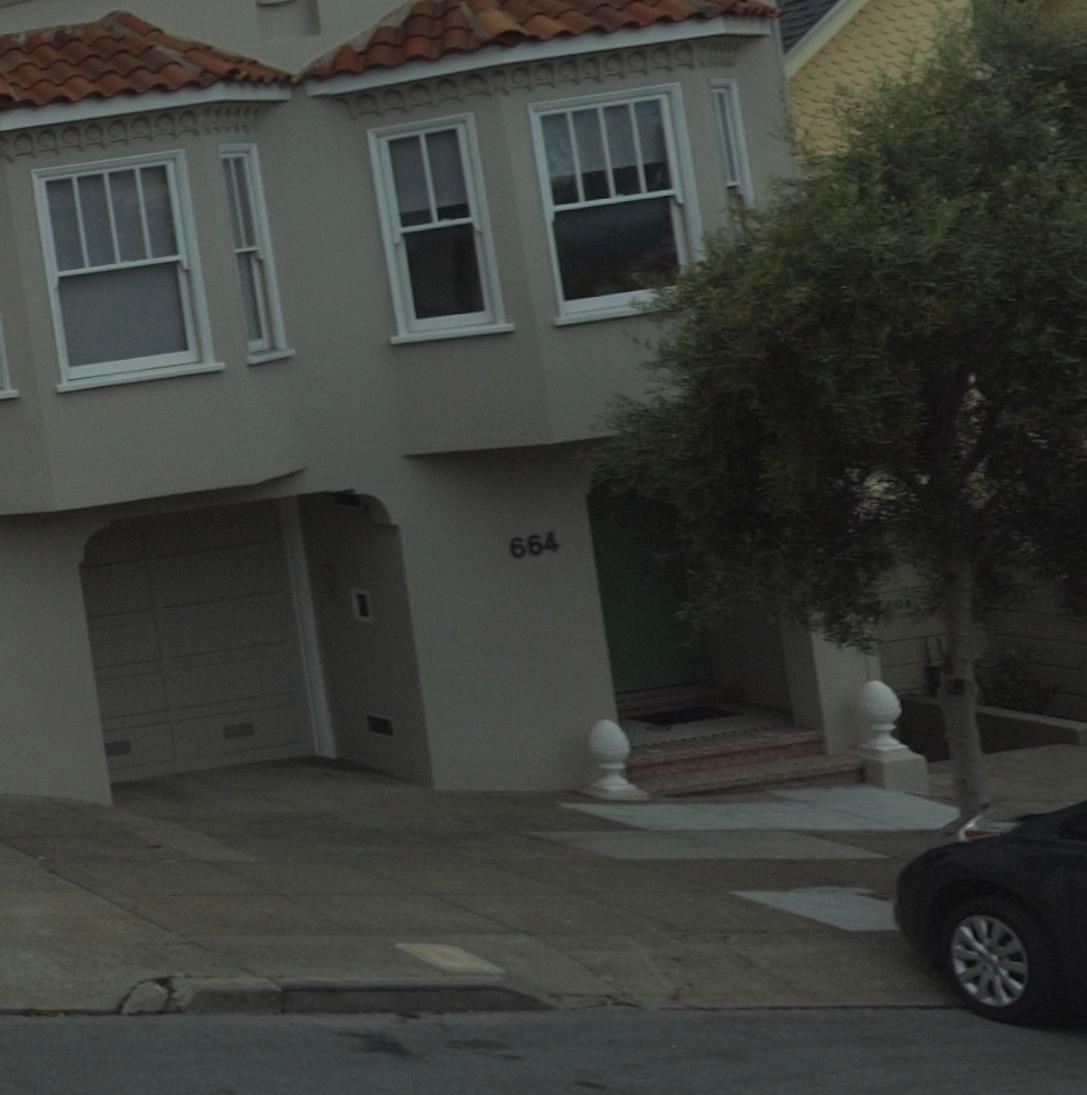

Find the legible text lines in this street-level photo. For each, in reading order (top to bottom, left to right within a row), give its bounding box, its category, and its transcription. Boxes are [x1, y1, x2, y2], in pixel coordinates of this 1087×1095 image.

[509, 529, 563, 559] StreetNumber: 664